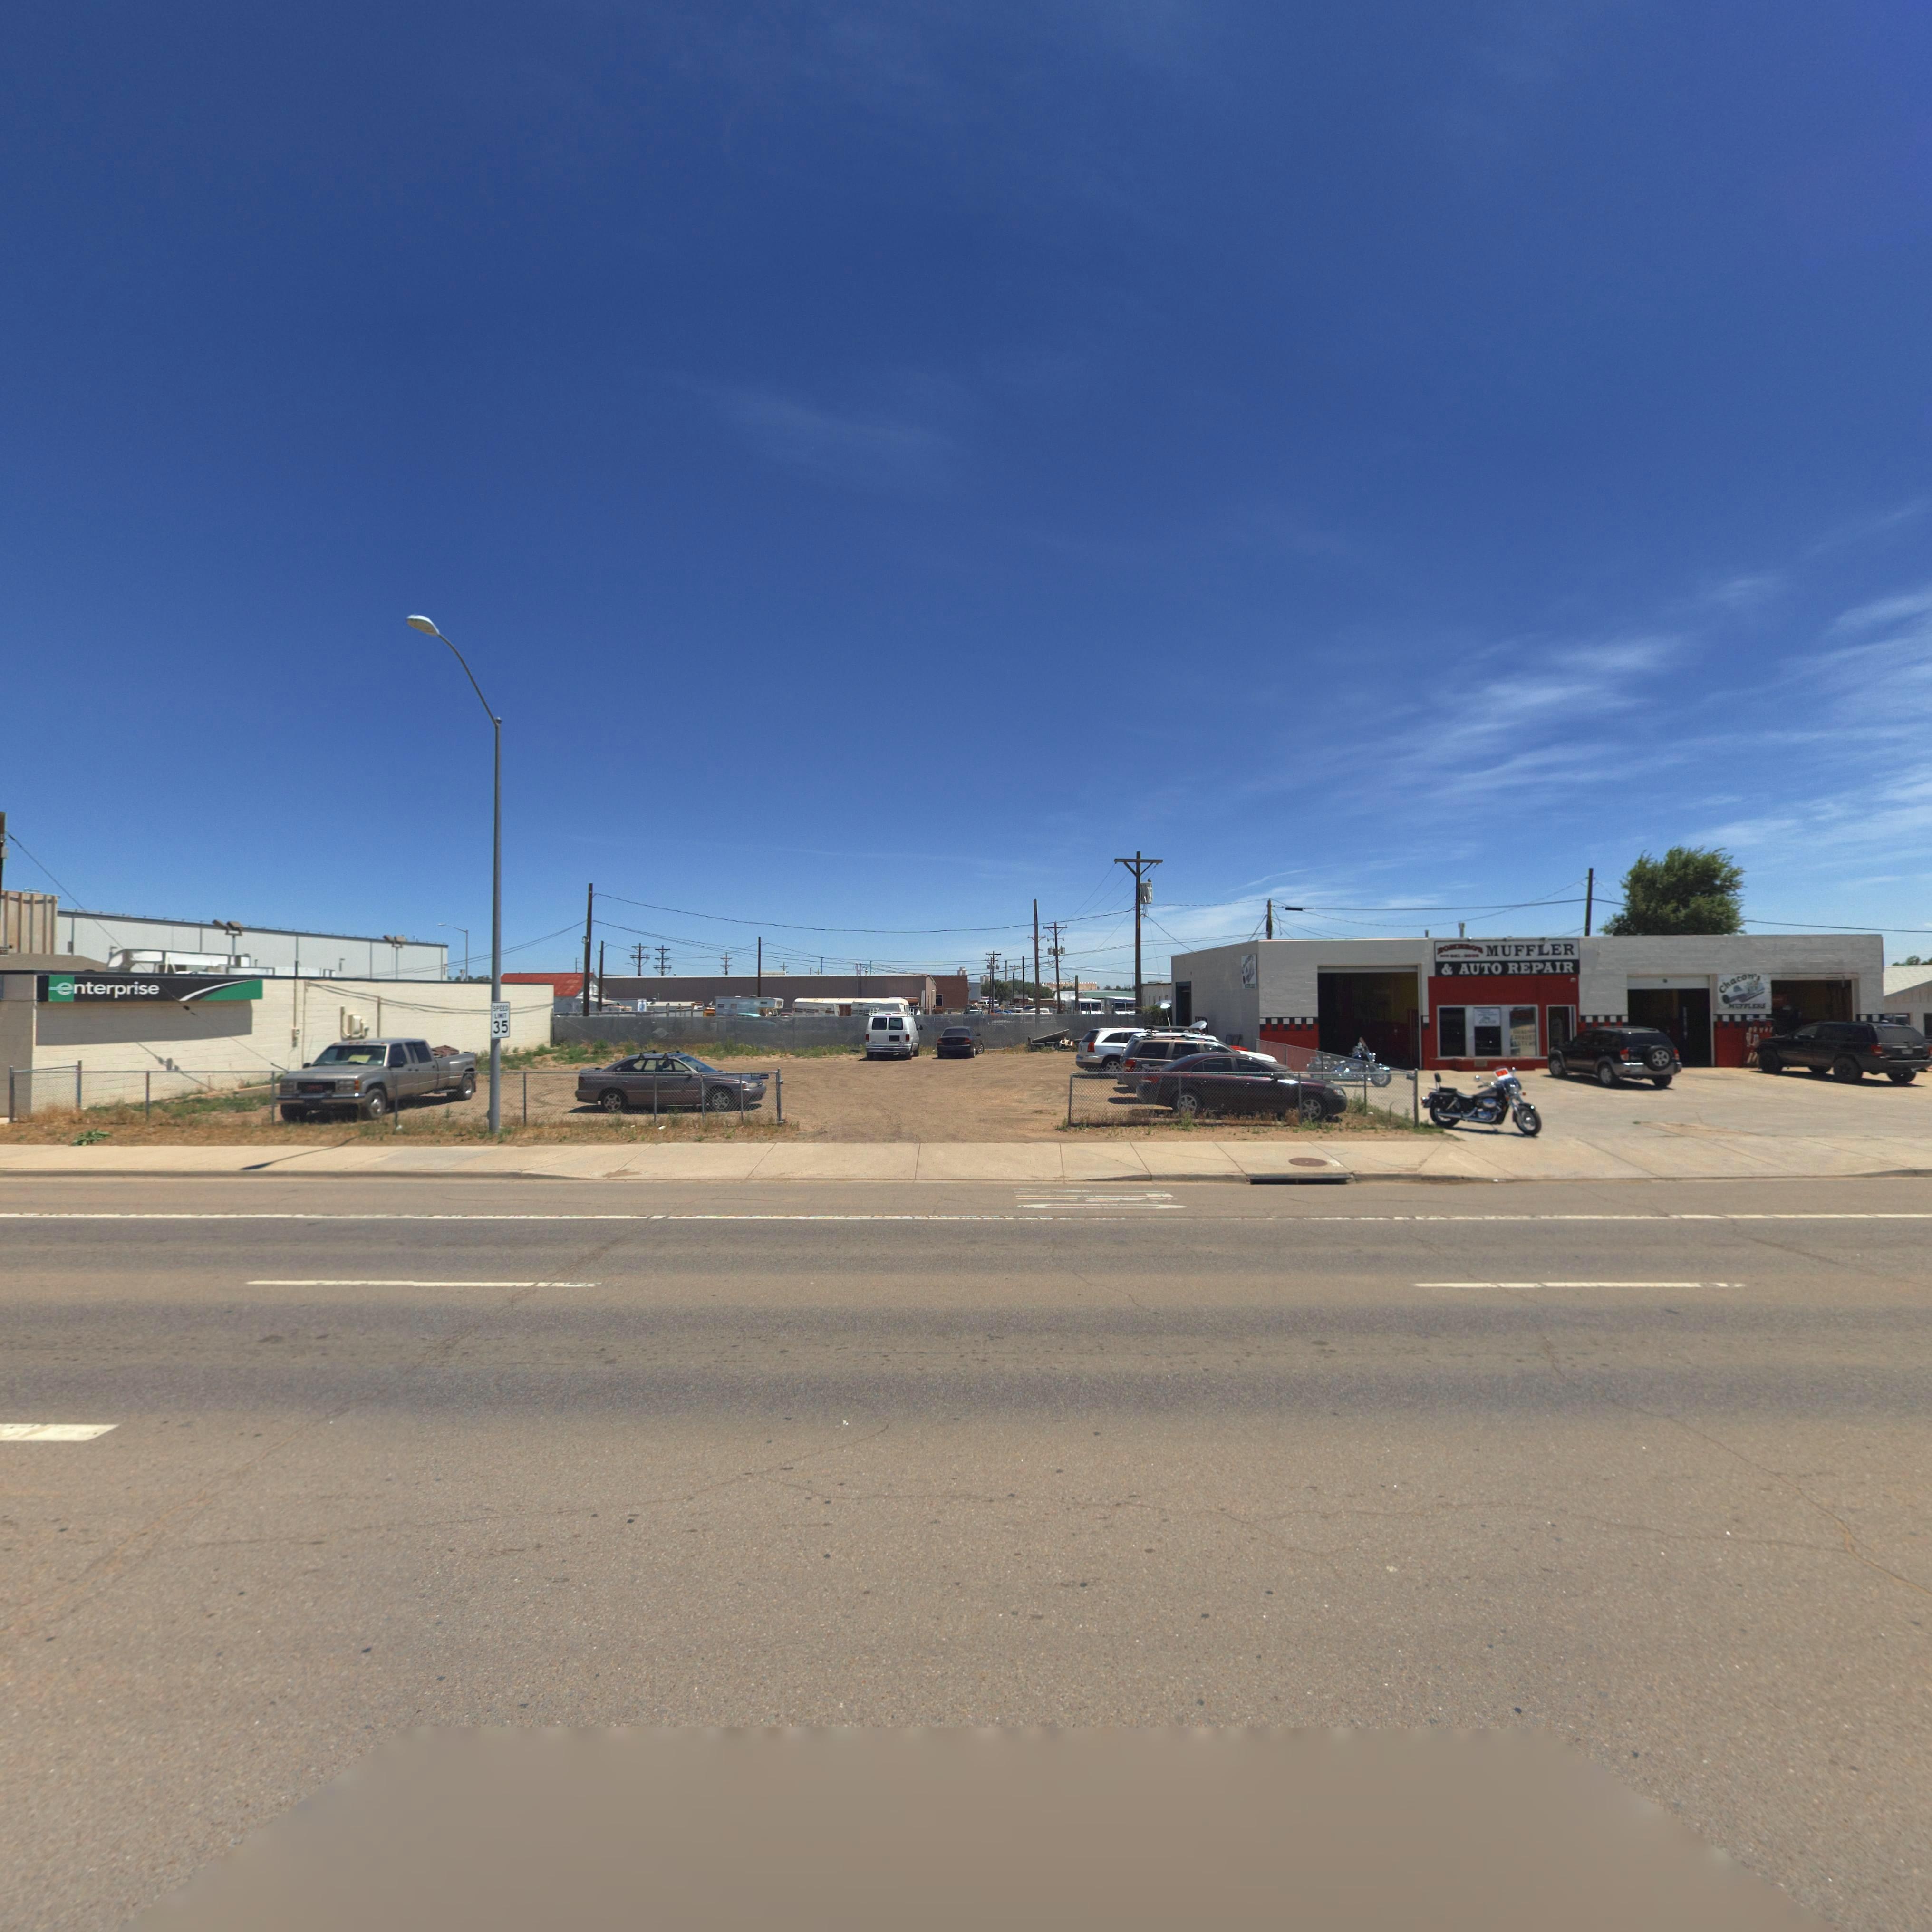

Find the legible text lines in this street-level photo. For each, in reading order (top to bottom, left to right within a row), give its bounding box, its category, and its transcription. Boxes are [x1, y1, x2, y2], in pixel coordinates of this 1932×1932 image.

[1436, 942, 1484, 955] BusinessName: *ON**O*
[1484, 943, 1575, 957] BusinessName: MUFFLER
[1440, 961, 1574, 976] BusinessName: * AUTO REPAIR
[48, 980, 160, 998] BusinessName: enterprise
[1718, 972, 1764, 995] BusinessName: chacon's
[1727, 1002, 1767, 1009] BusinessName: MUFFLERS